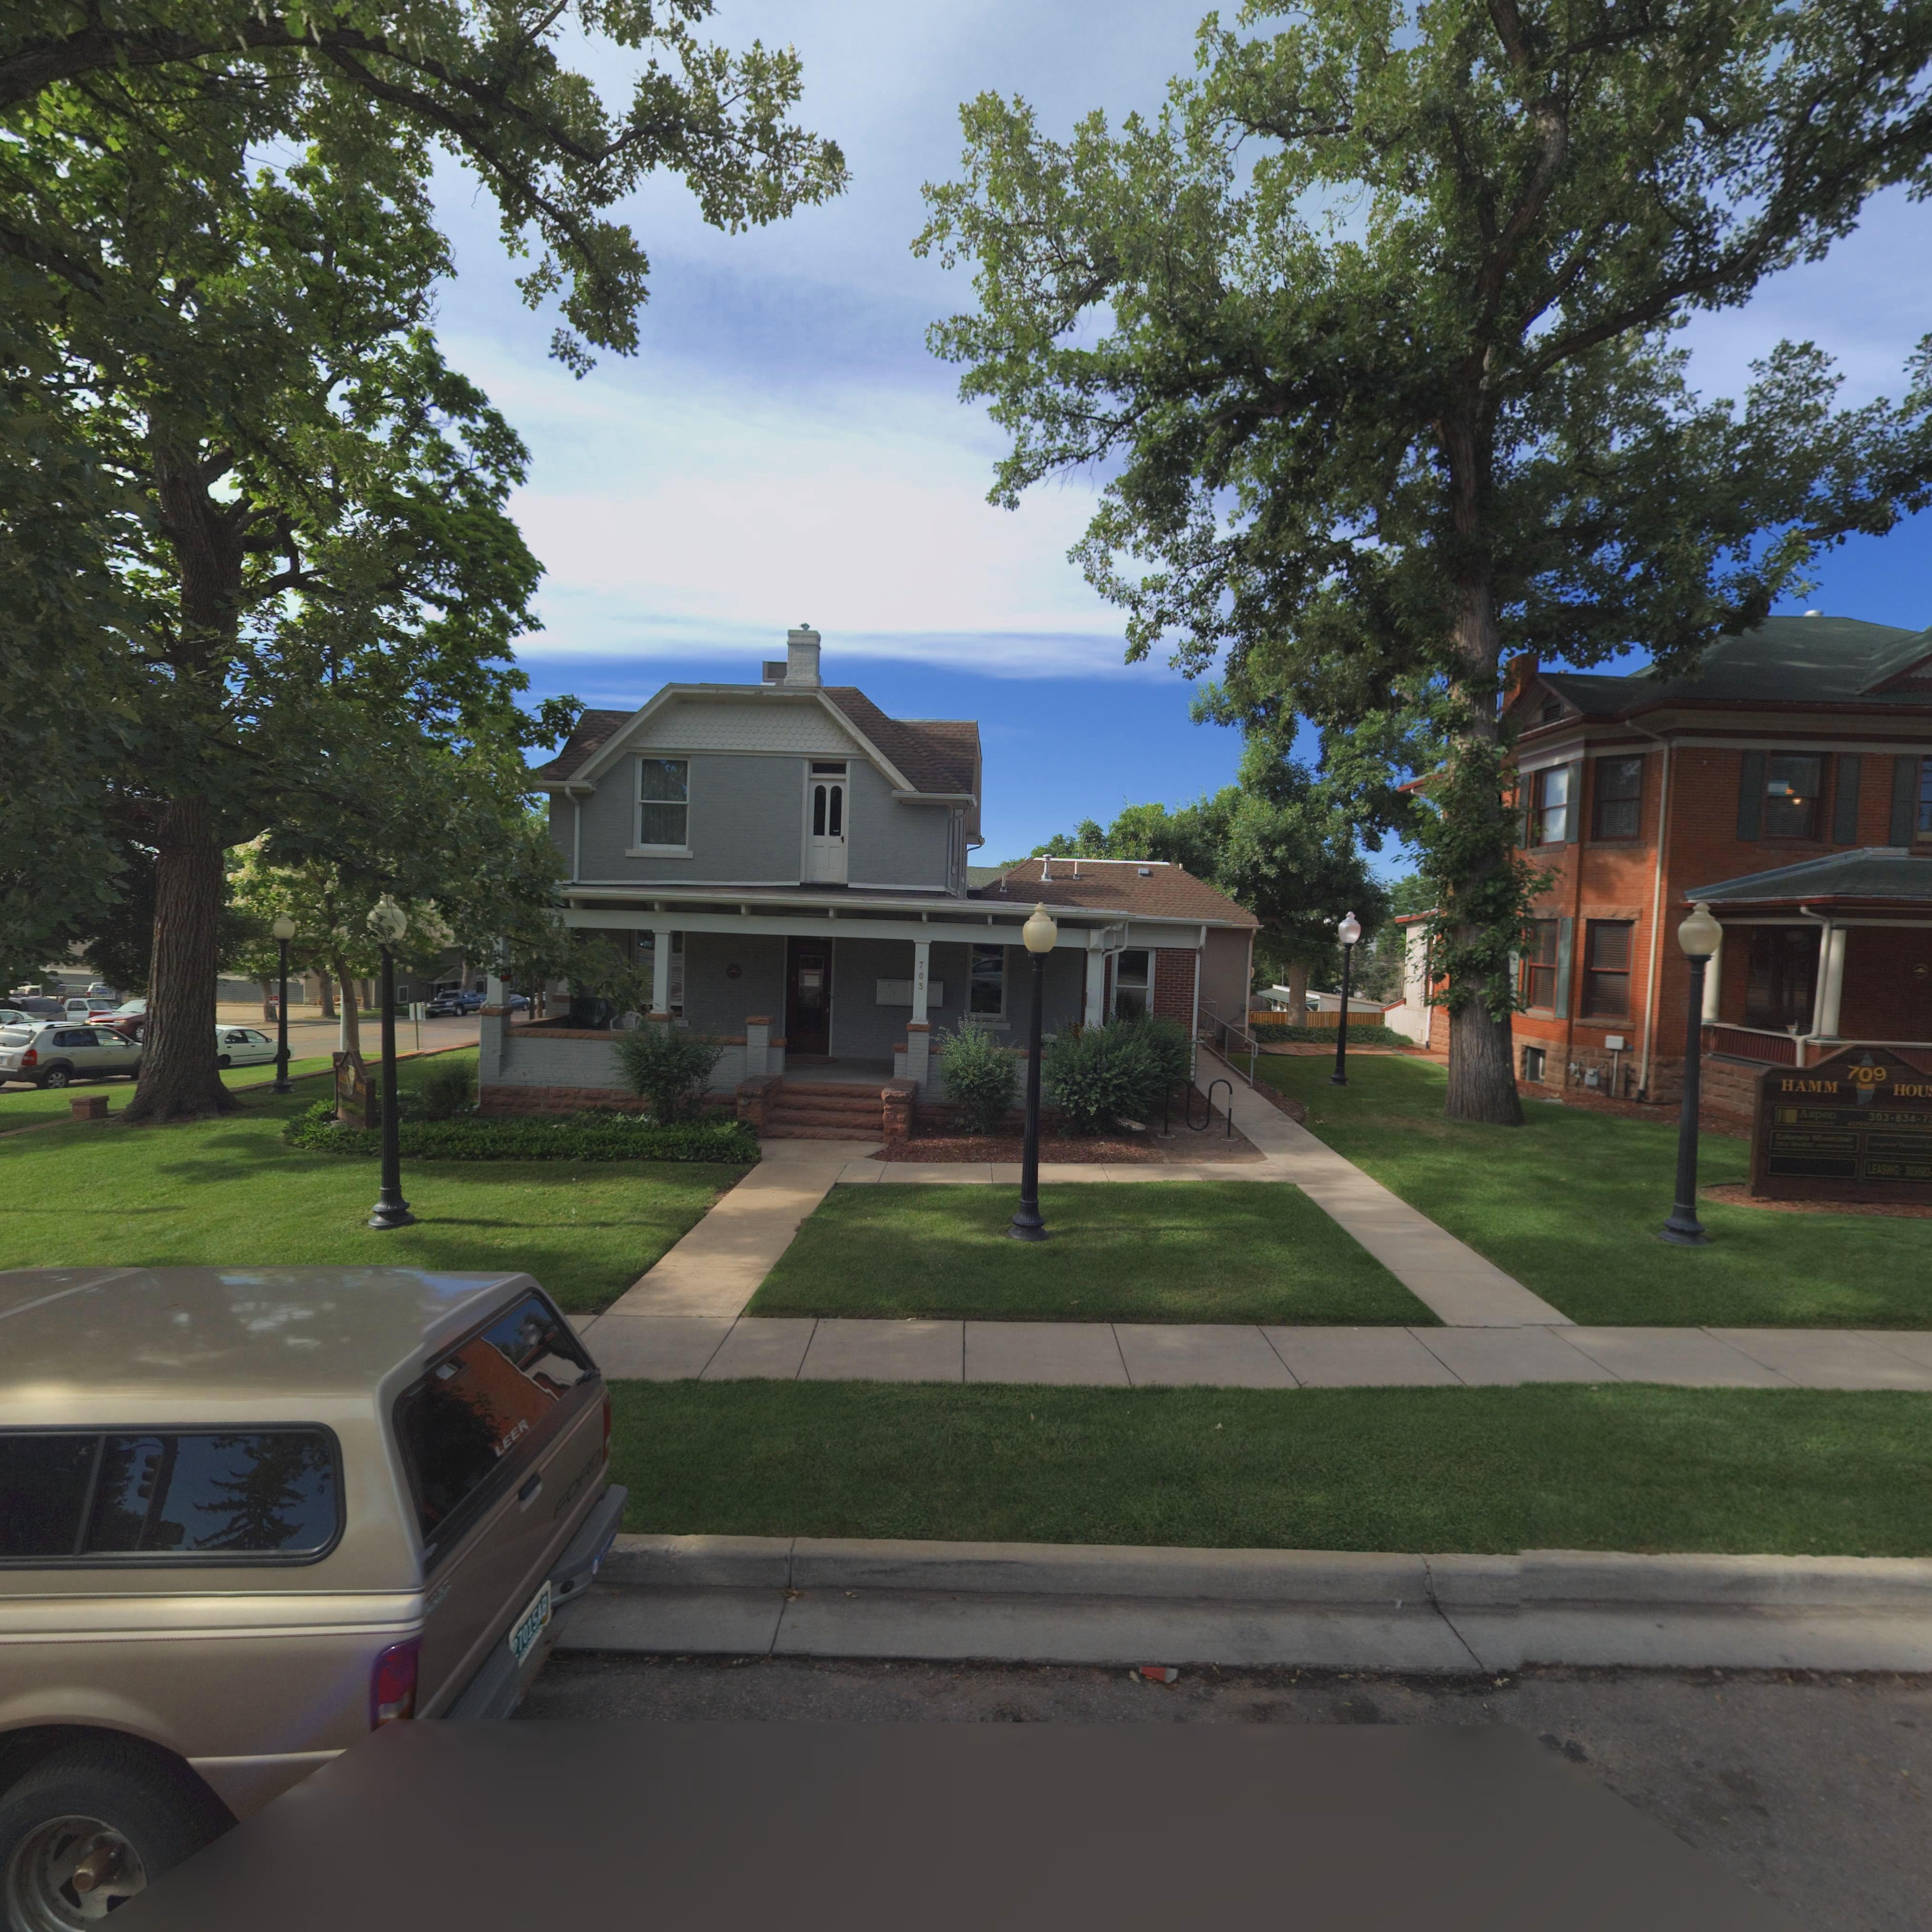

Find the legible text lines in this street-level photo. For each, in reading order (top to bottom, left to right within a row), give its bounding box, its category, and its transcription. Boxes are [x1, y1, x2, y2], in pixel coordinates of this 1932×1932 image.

[918, 961, 924, 990] StreetNumber: 703
[1846, 1064, 1887, 1082] StreetNumber: 709
[1780, 1078, 1839, 1093] BusinessName: Hamm
[1893, 1082, 1929, 1098] BusinessName: Hou
[1798, 1108, 1838, 1121] BusinessName: Aspen
[1775, 1132, 1854, 1143] BusinessName: Colorado Wheelchair
[1869, 1140, 1910, 1148] BusinessName: Longmont Skin